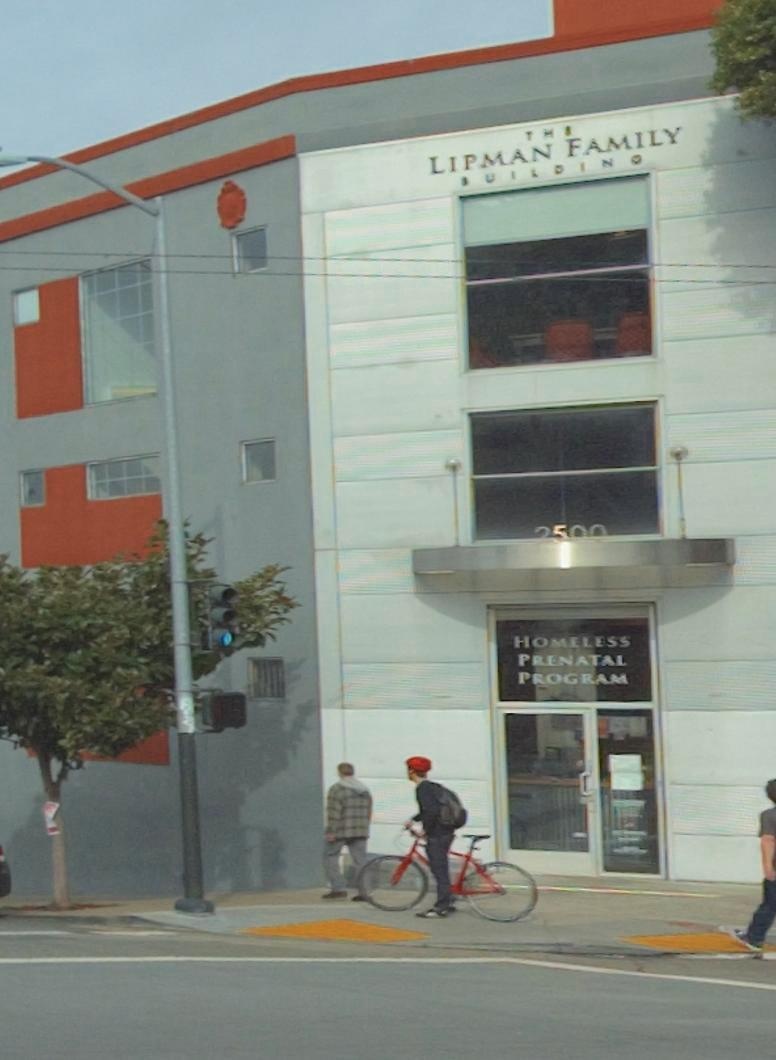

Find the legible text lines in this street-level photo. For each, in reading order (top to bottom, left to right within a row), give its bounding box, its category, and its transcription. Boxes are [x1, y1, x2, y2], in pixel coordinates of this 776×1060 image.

[522, 123, 577, 143] BusinessName: TH*
[425, 123, 685, 177] BusinessName: LIPMAN FAMILY
[457, 151, 644, 187] BusinessName: *UILDIN*
[532, 522, 609, 544] StreetNumber: 2500
[512, 634, 633, 649] BusinessName: HOMELESS
[516, 651, 629, 668] BusinessName: PRENATAL
[515, 670, 630, 686] BusinessName: PROGRAM